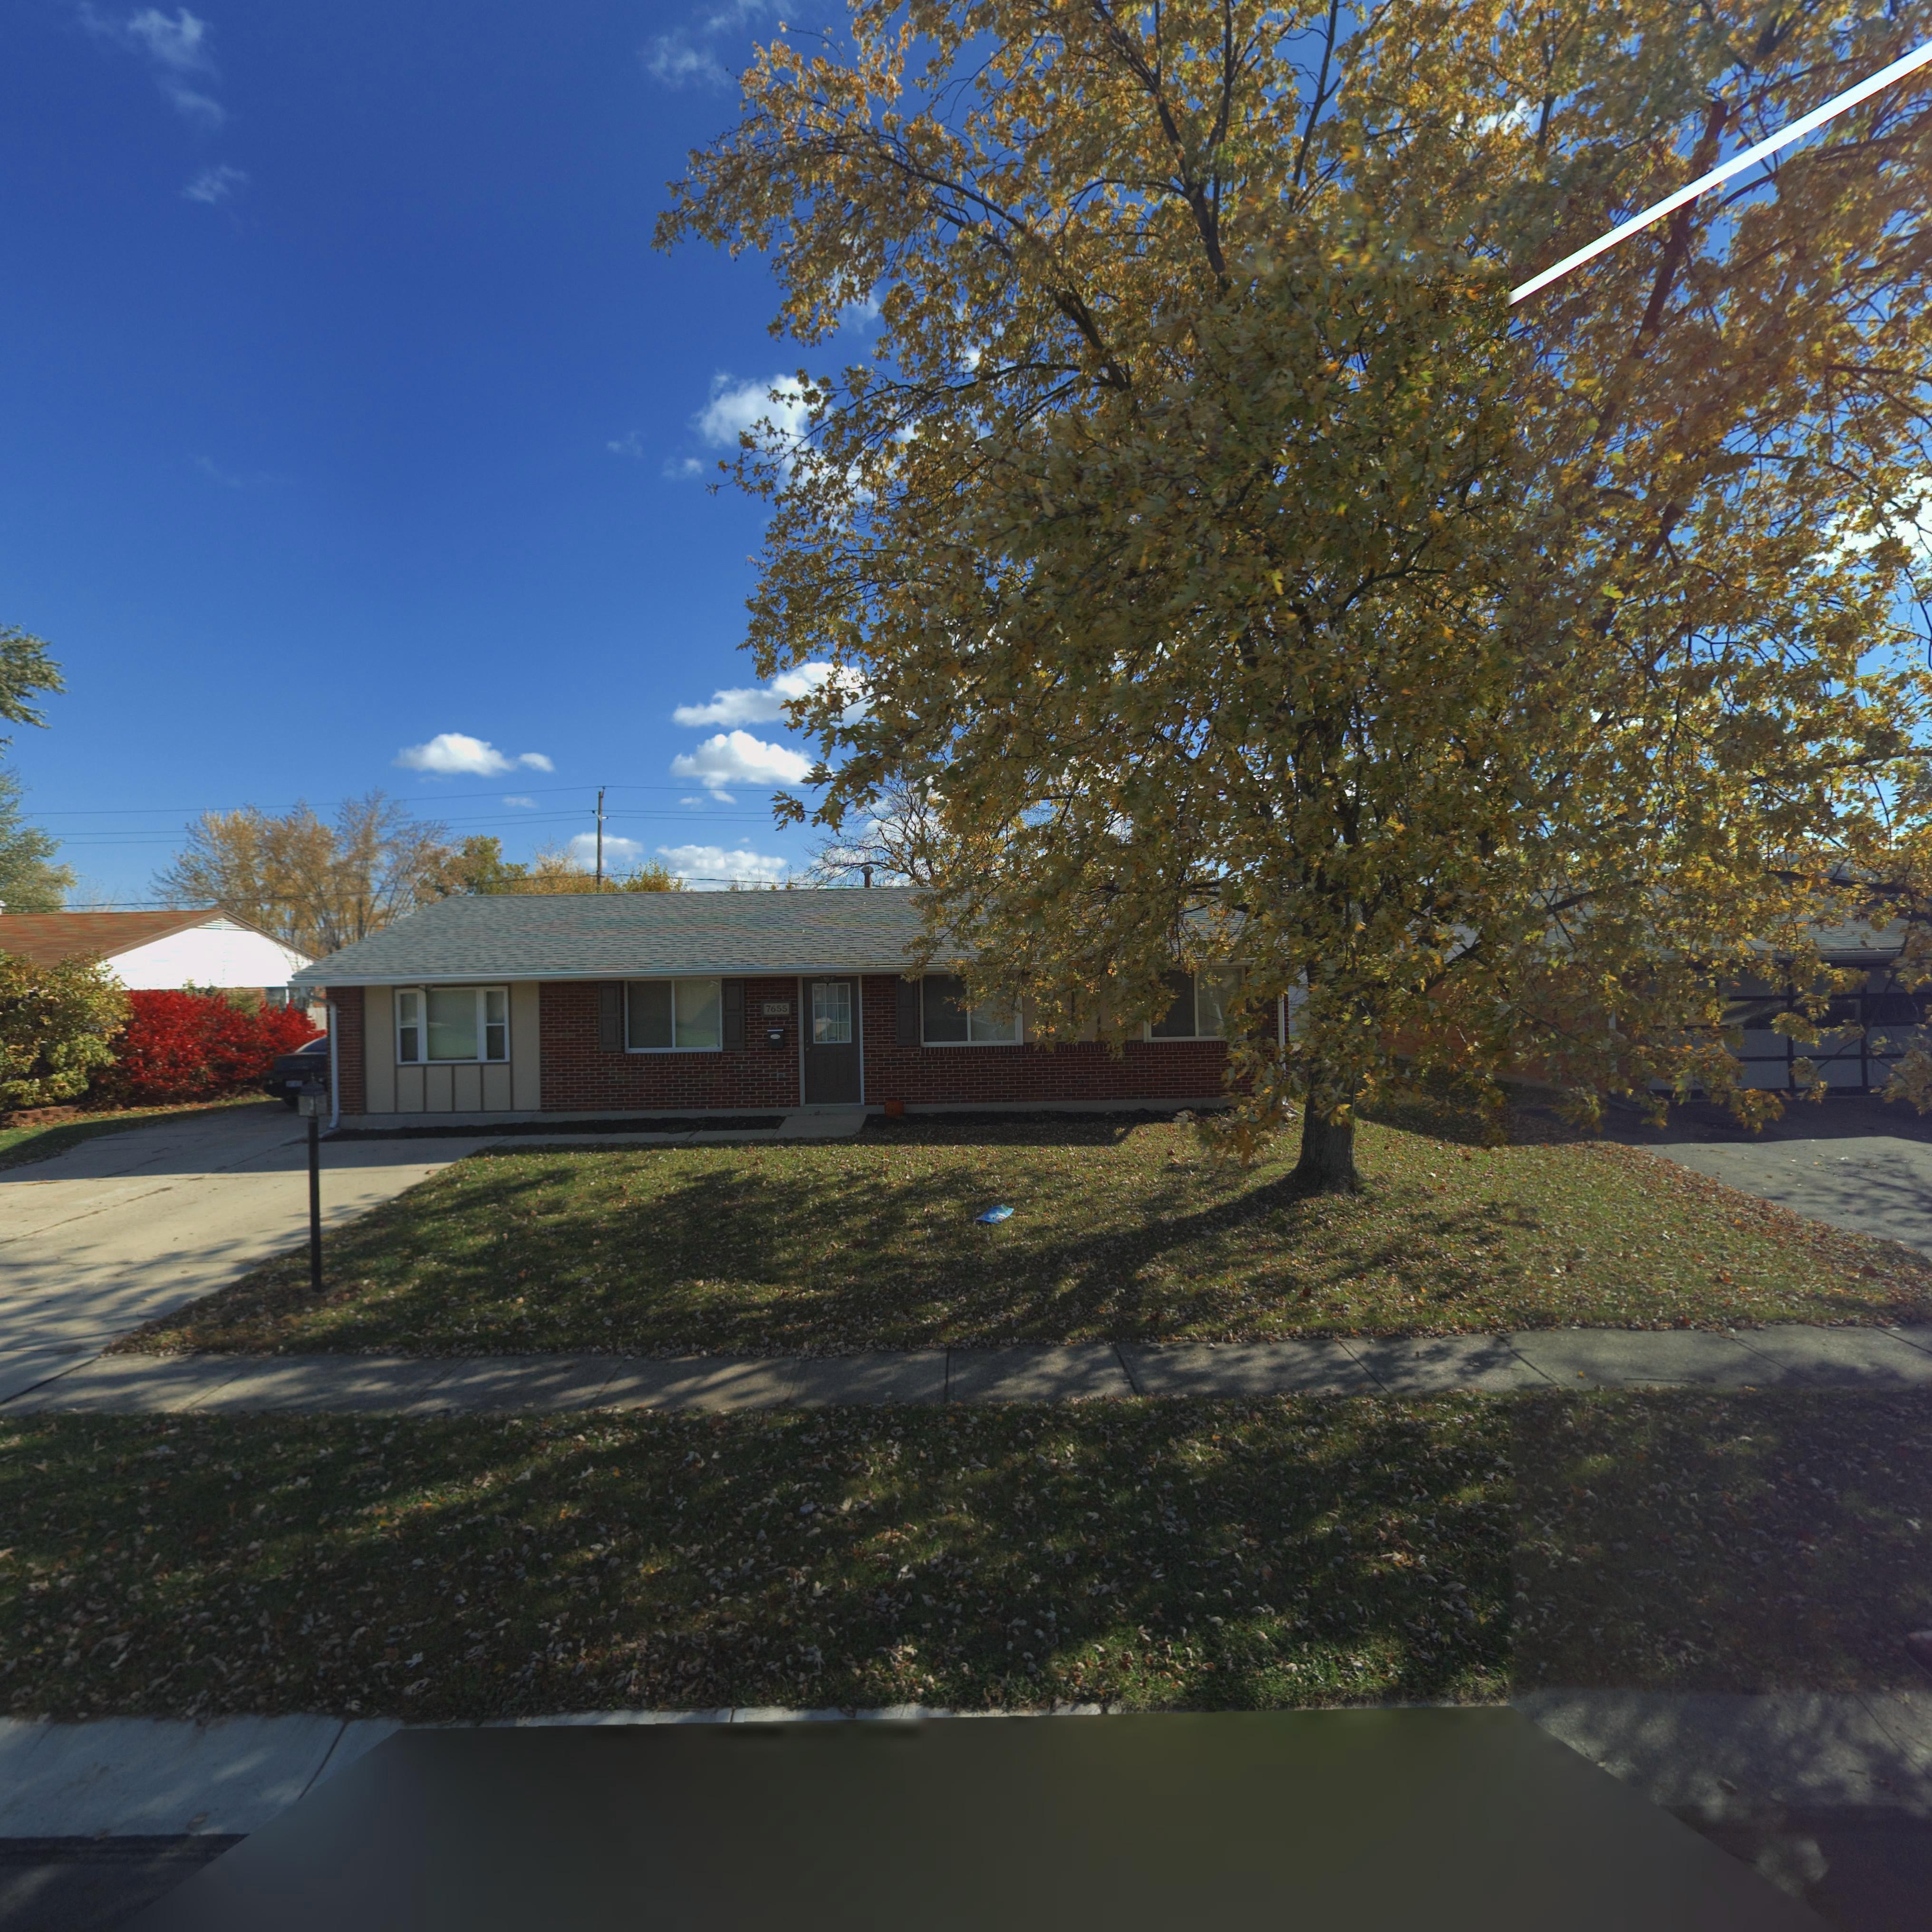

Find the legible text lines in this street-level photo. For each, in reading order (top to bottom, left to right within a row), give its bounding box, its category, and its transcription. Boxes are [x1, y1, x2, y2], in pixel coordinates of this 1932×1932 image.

[764, 1004, 789, 1014] StreetNumber: 7655